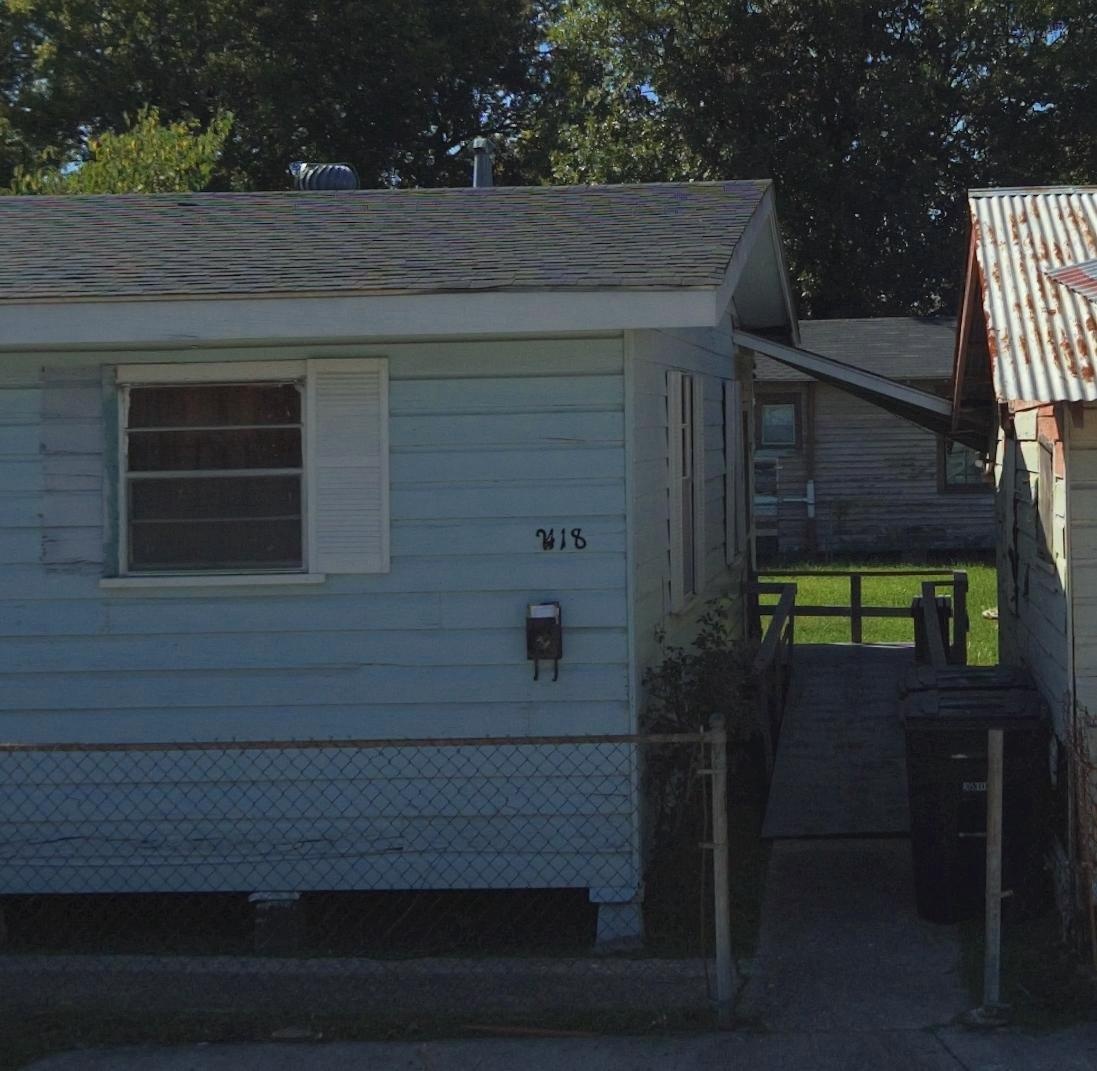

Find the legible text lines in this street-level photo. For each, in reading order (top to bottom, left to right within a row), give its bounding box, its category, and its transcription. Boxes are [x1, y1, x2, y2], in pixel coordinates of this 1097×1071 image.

[533, 525, 590, 553] StreetNumber: **18